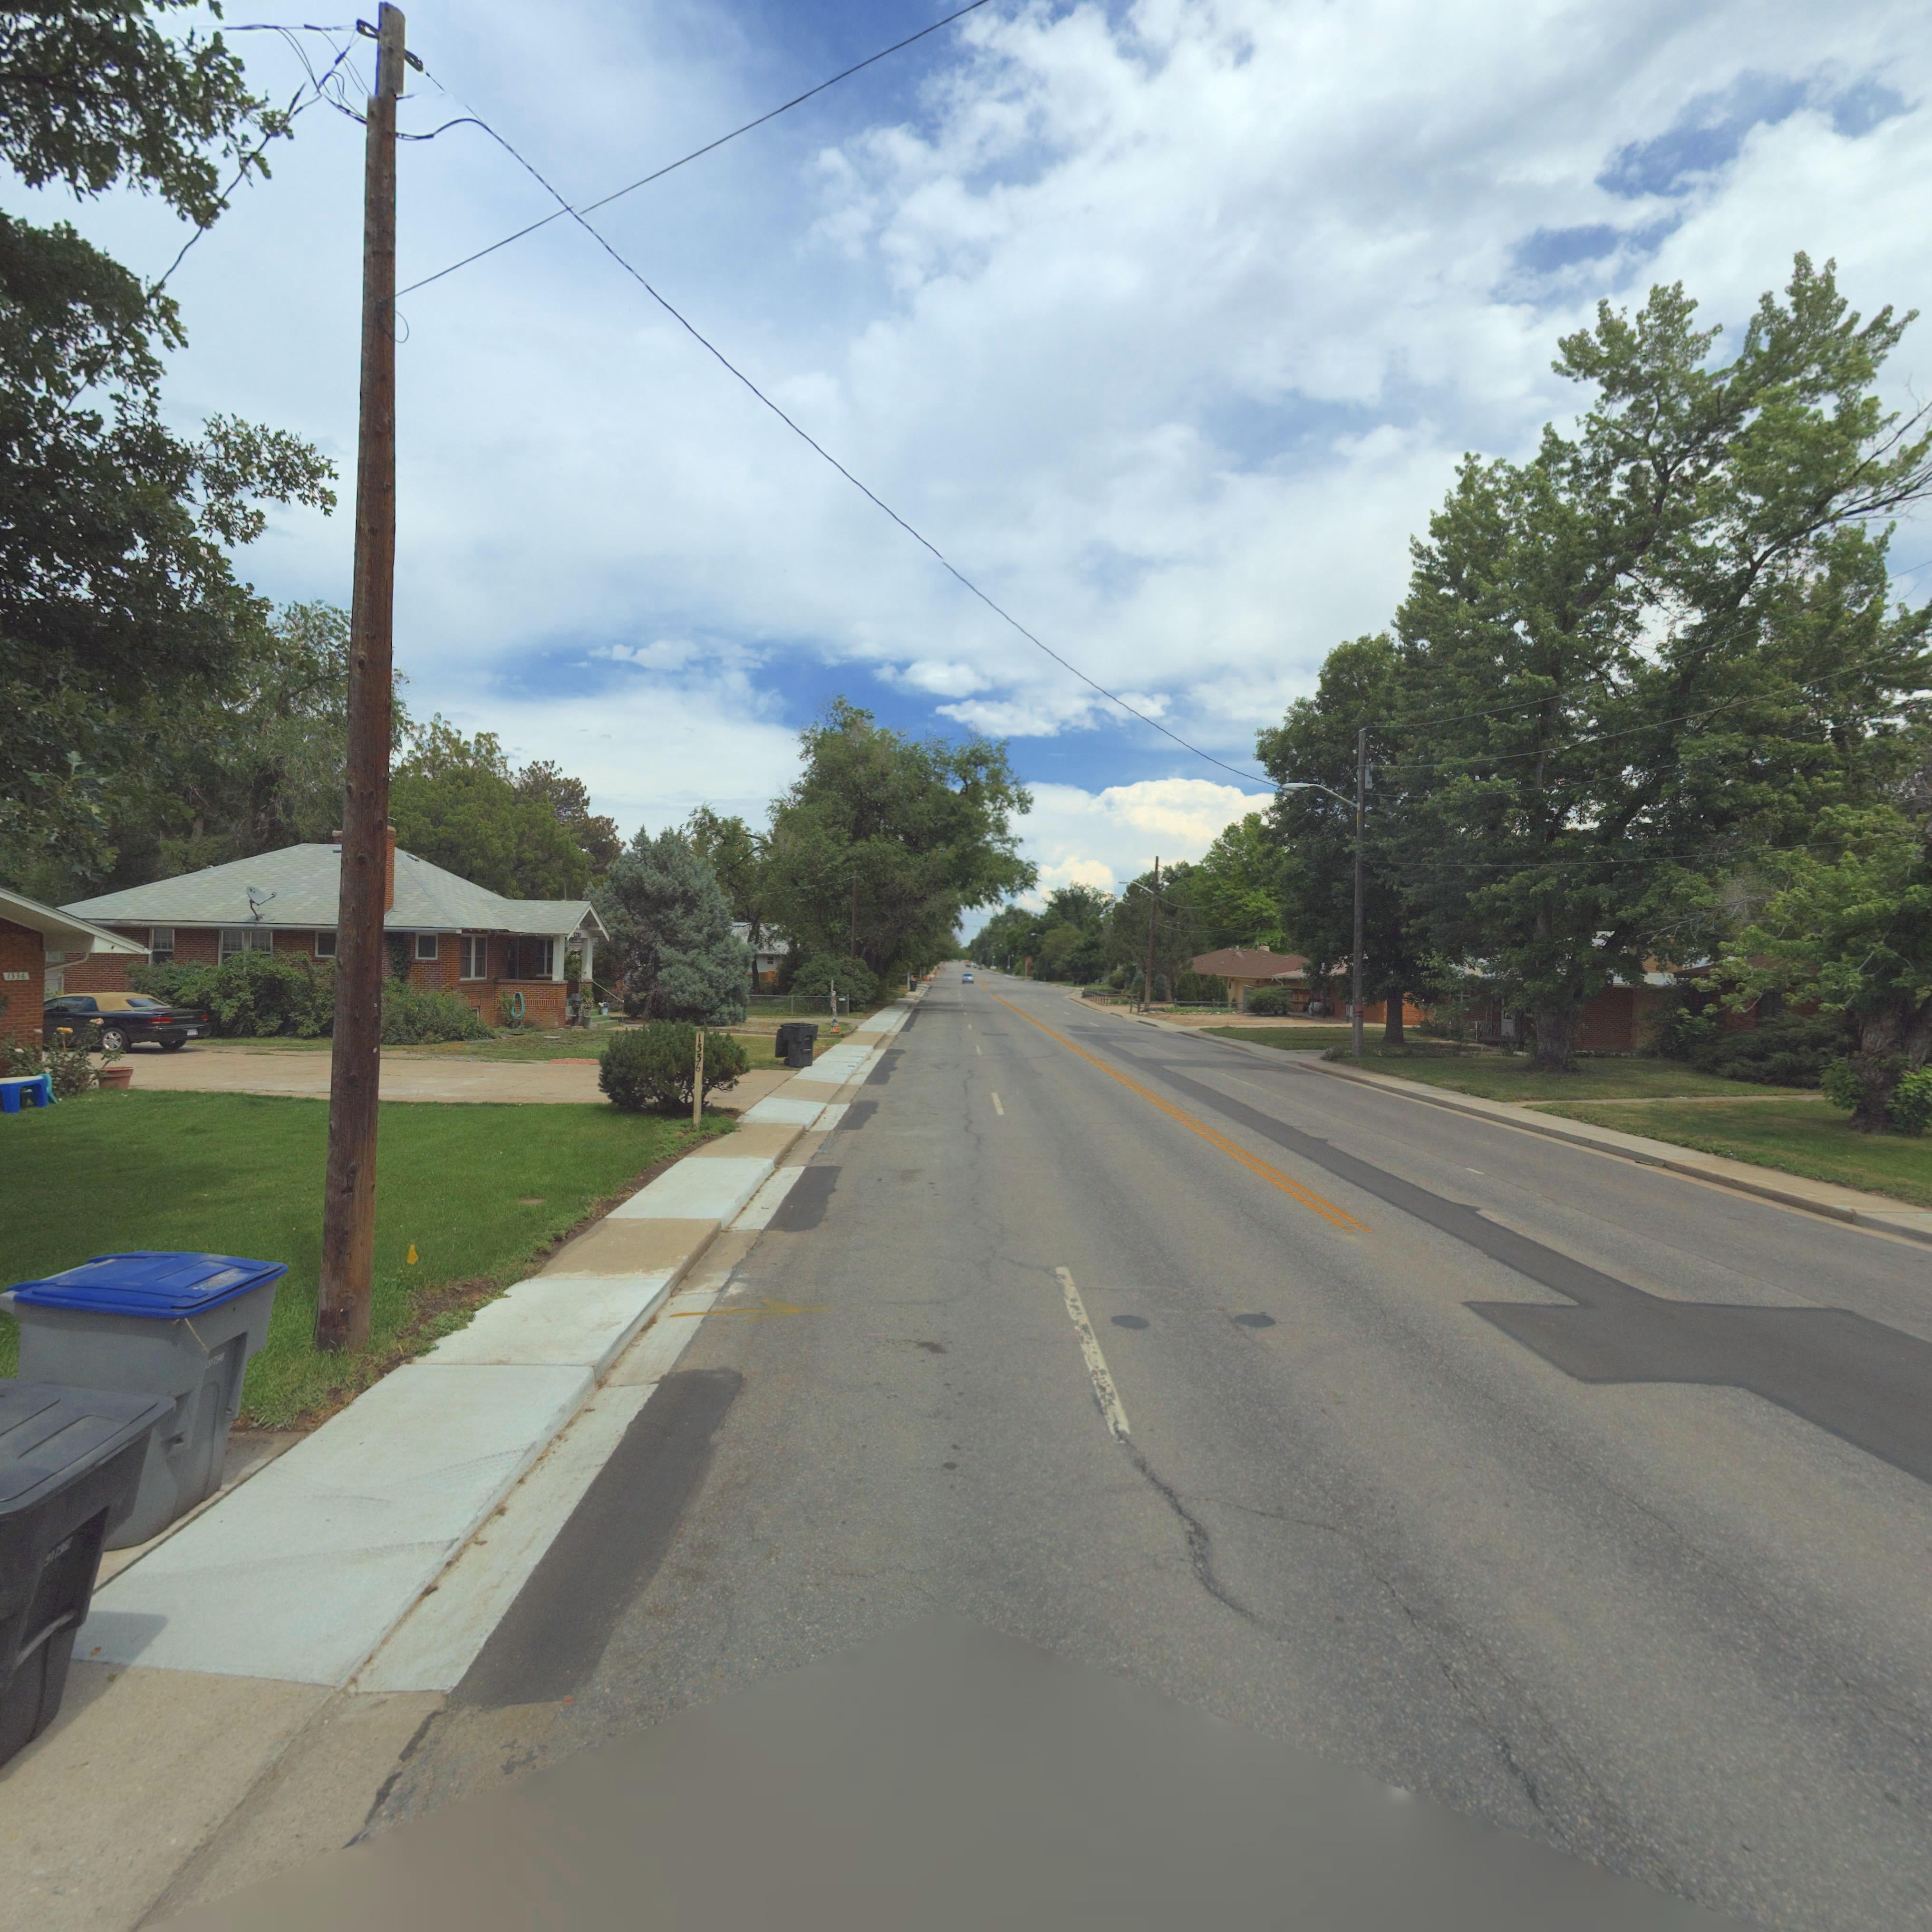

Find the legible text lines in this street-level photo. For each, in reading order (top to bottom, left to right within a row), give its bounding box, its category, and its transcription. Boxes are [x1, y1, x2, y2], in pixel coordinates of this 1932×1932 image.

[7, 972, 26, 979] StreetNumber: 1336
[695, 1033, 702, 1073] StreetNumber: 1336